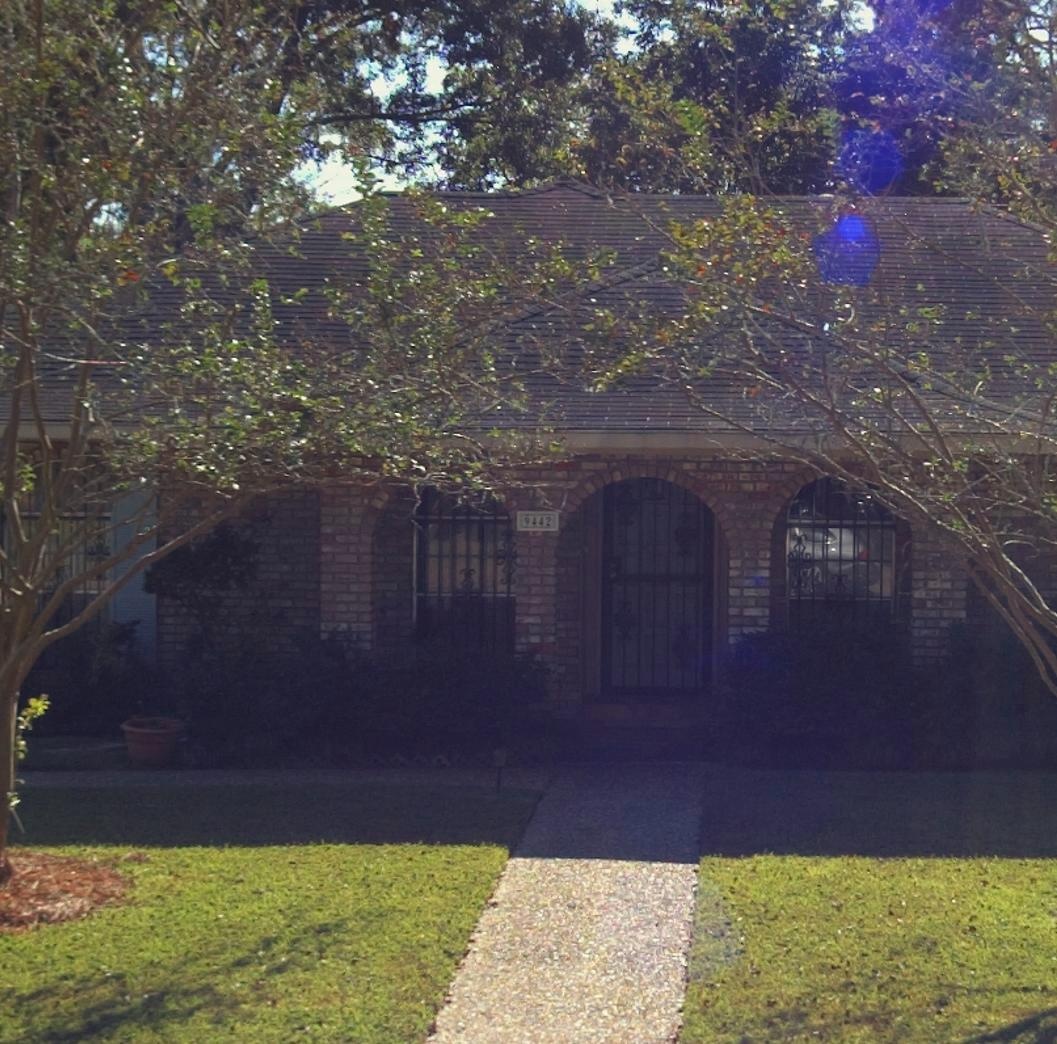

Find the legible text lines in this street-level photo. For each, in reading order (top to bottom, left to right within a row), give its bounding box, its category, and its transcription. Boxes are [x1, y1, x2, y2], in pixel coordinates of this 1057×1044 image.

[523, 515, 553, 526] StreetNumber: 9442